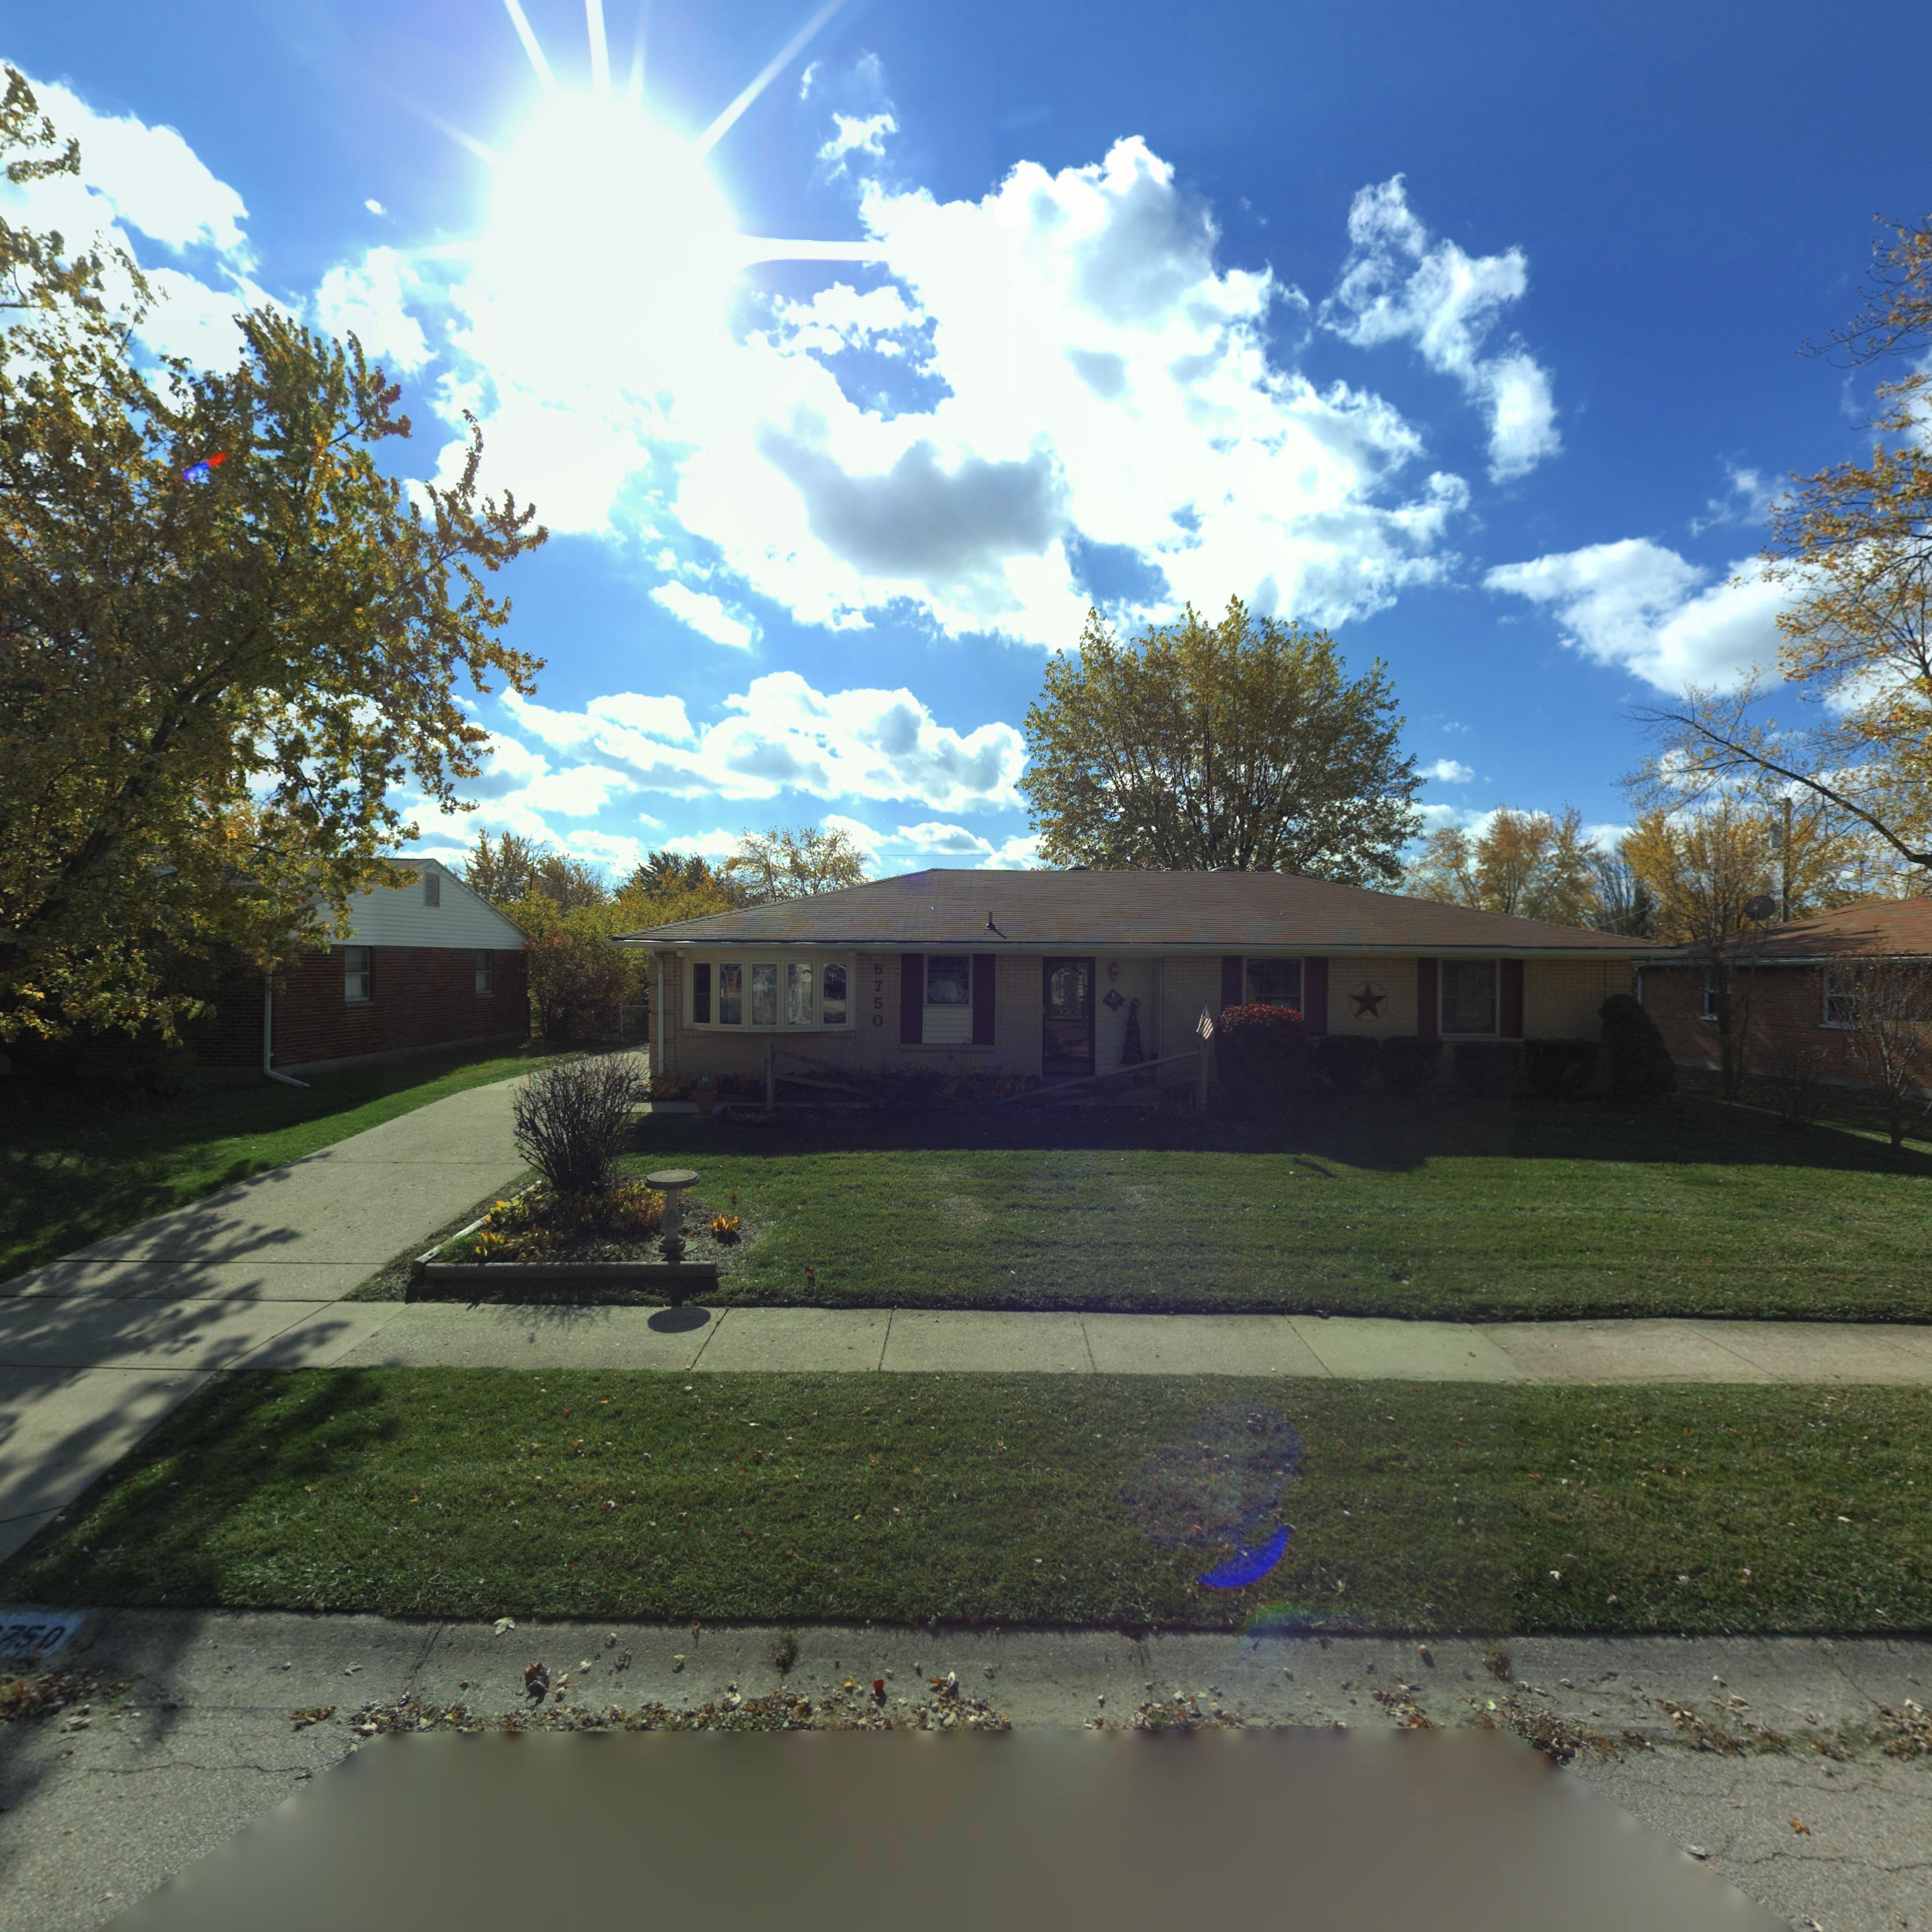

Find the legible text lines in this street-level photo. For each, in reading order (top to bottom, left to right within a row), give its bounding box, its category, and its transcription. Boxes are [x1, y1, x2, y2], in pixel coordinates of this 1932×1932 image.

[871, 963, 884, 1027] StreetNumber: 6750
[0, 1623, 68, 1652] StreetNumber: 750